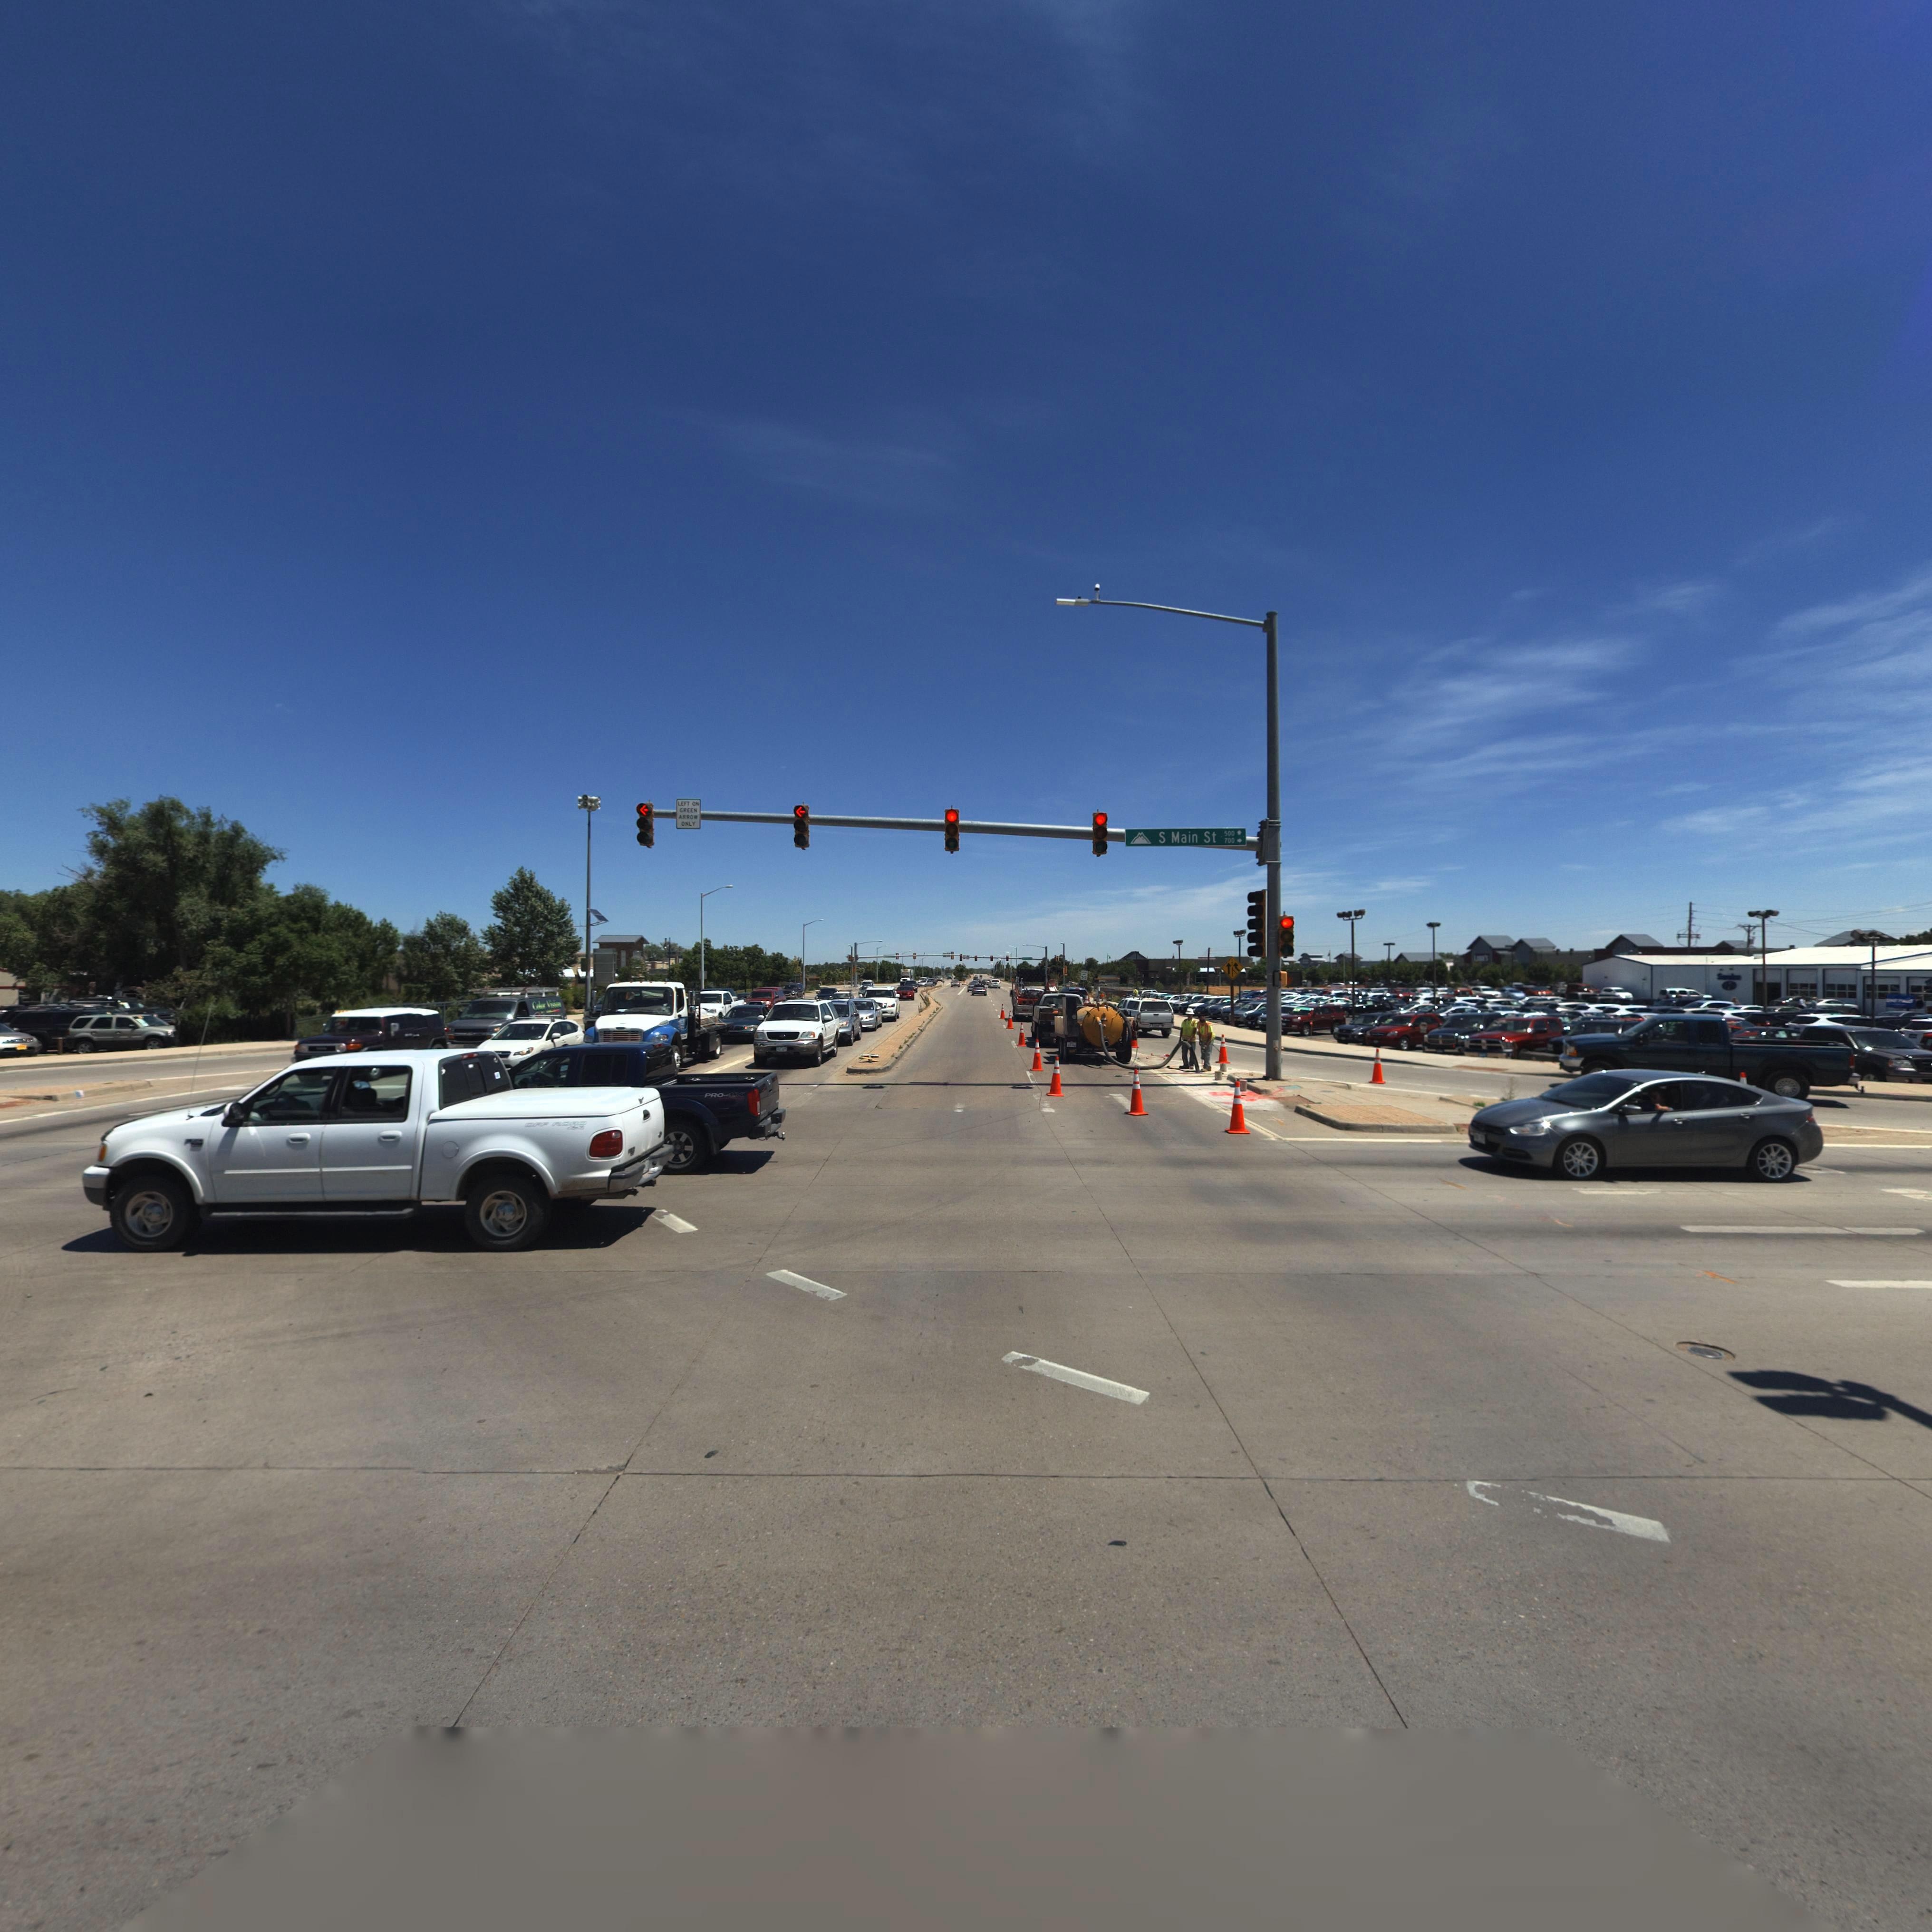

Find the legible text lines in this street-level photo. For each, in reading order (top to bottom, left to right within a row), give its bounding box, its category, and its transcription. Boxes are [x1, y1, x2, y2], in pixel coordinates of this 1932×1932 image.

[1156, 830, 1218, 844] StreetName: S Main St
[1223, 830, 1235, 837] StreetNumberRange: 500
[1223, 837, 1244, 844] StreetNumberRange: 700 ->
[1715, 972, 1743, 981] BusinessName: S*******